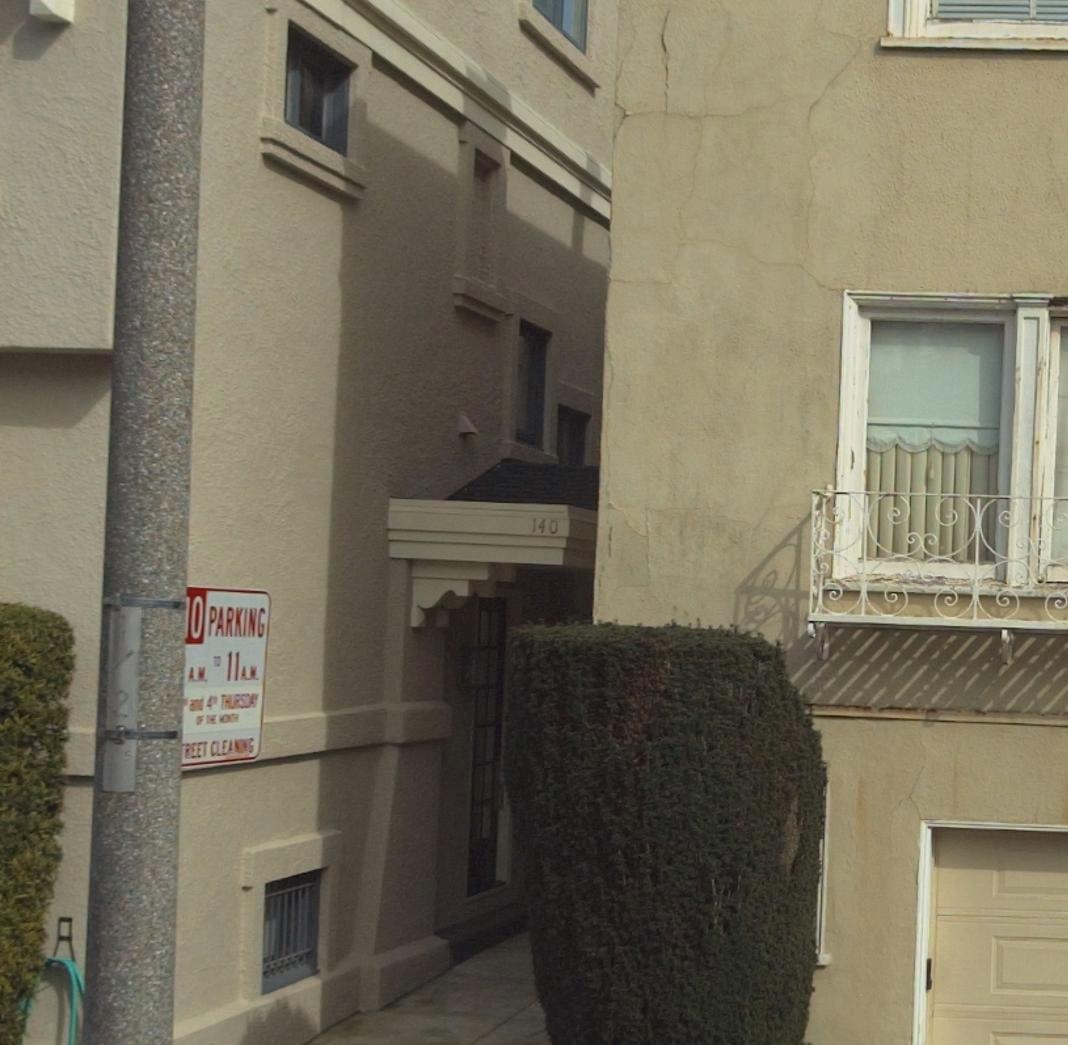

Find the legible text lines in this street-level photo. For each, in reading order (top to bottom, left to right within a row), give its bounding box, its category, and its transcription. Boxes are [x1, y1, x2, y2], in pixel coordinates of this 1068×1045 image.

[530, 517, 560, 535] StreetNumber: 140
[189, 592, 268, 642] None: O PARKING
[186, 648, 261, 685] None: A.M. TO 11A.M.
[109, 686, 132, 722] None: 2
[188, 691, 262, 713] None: and 4th THURSDAY
[195, 712, 242, 727] None: OF THE MONTH
[122, 747, 135, 765] None: 5
[184, 735, 257, 761] None: REET CLEANING